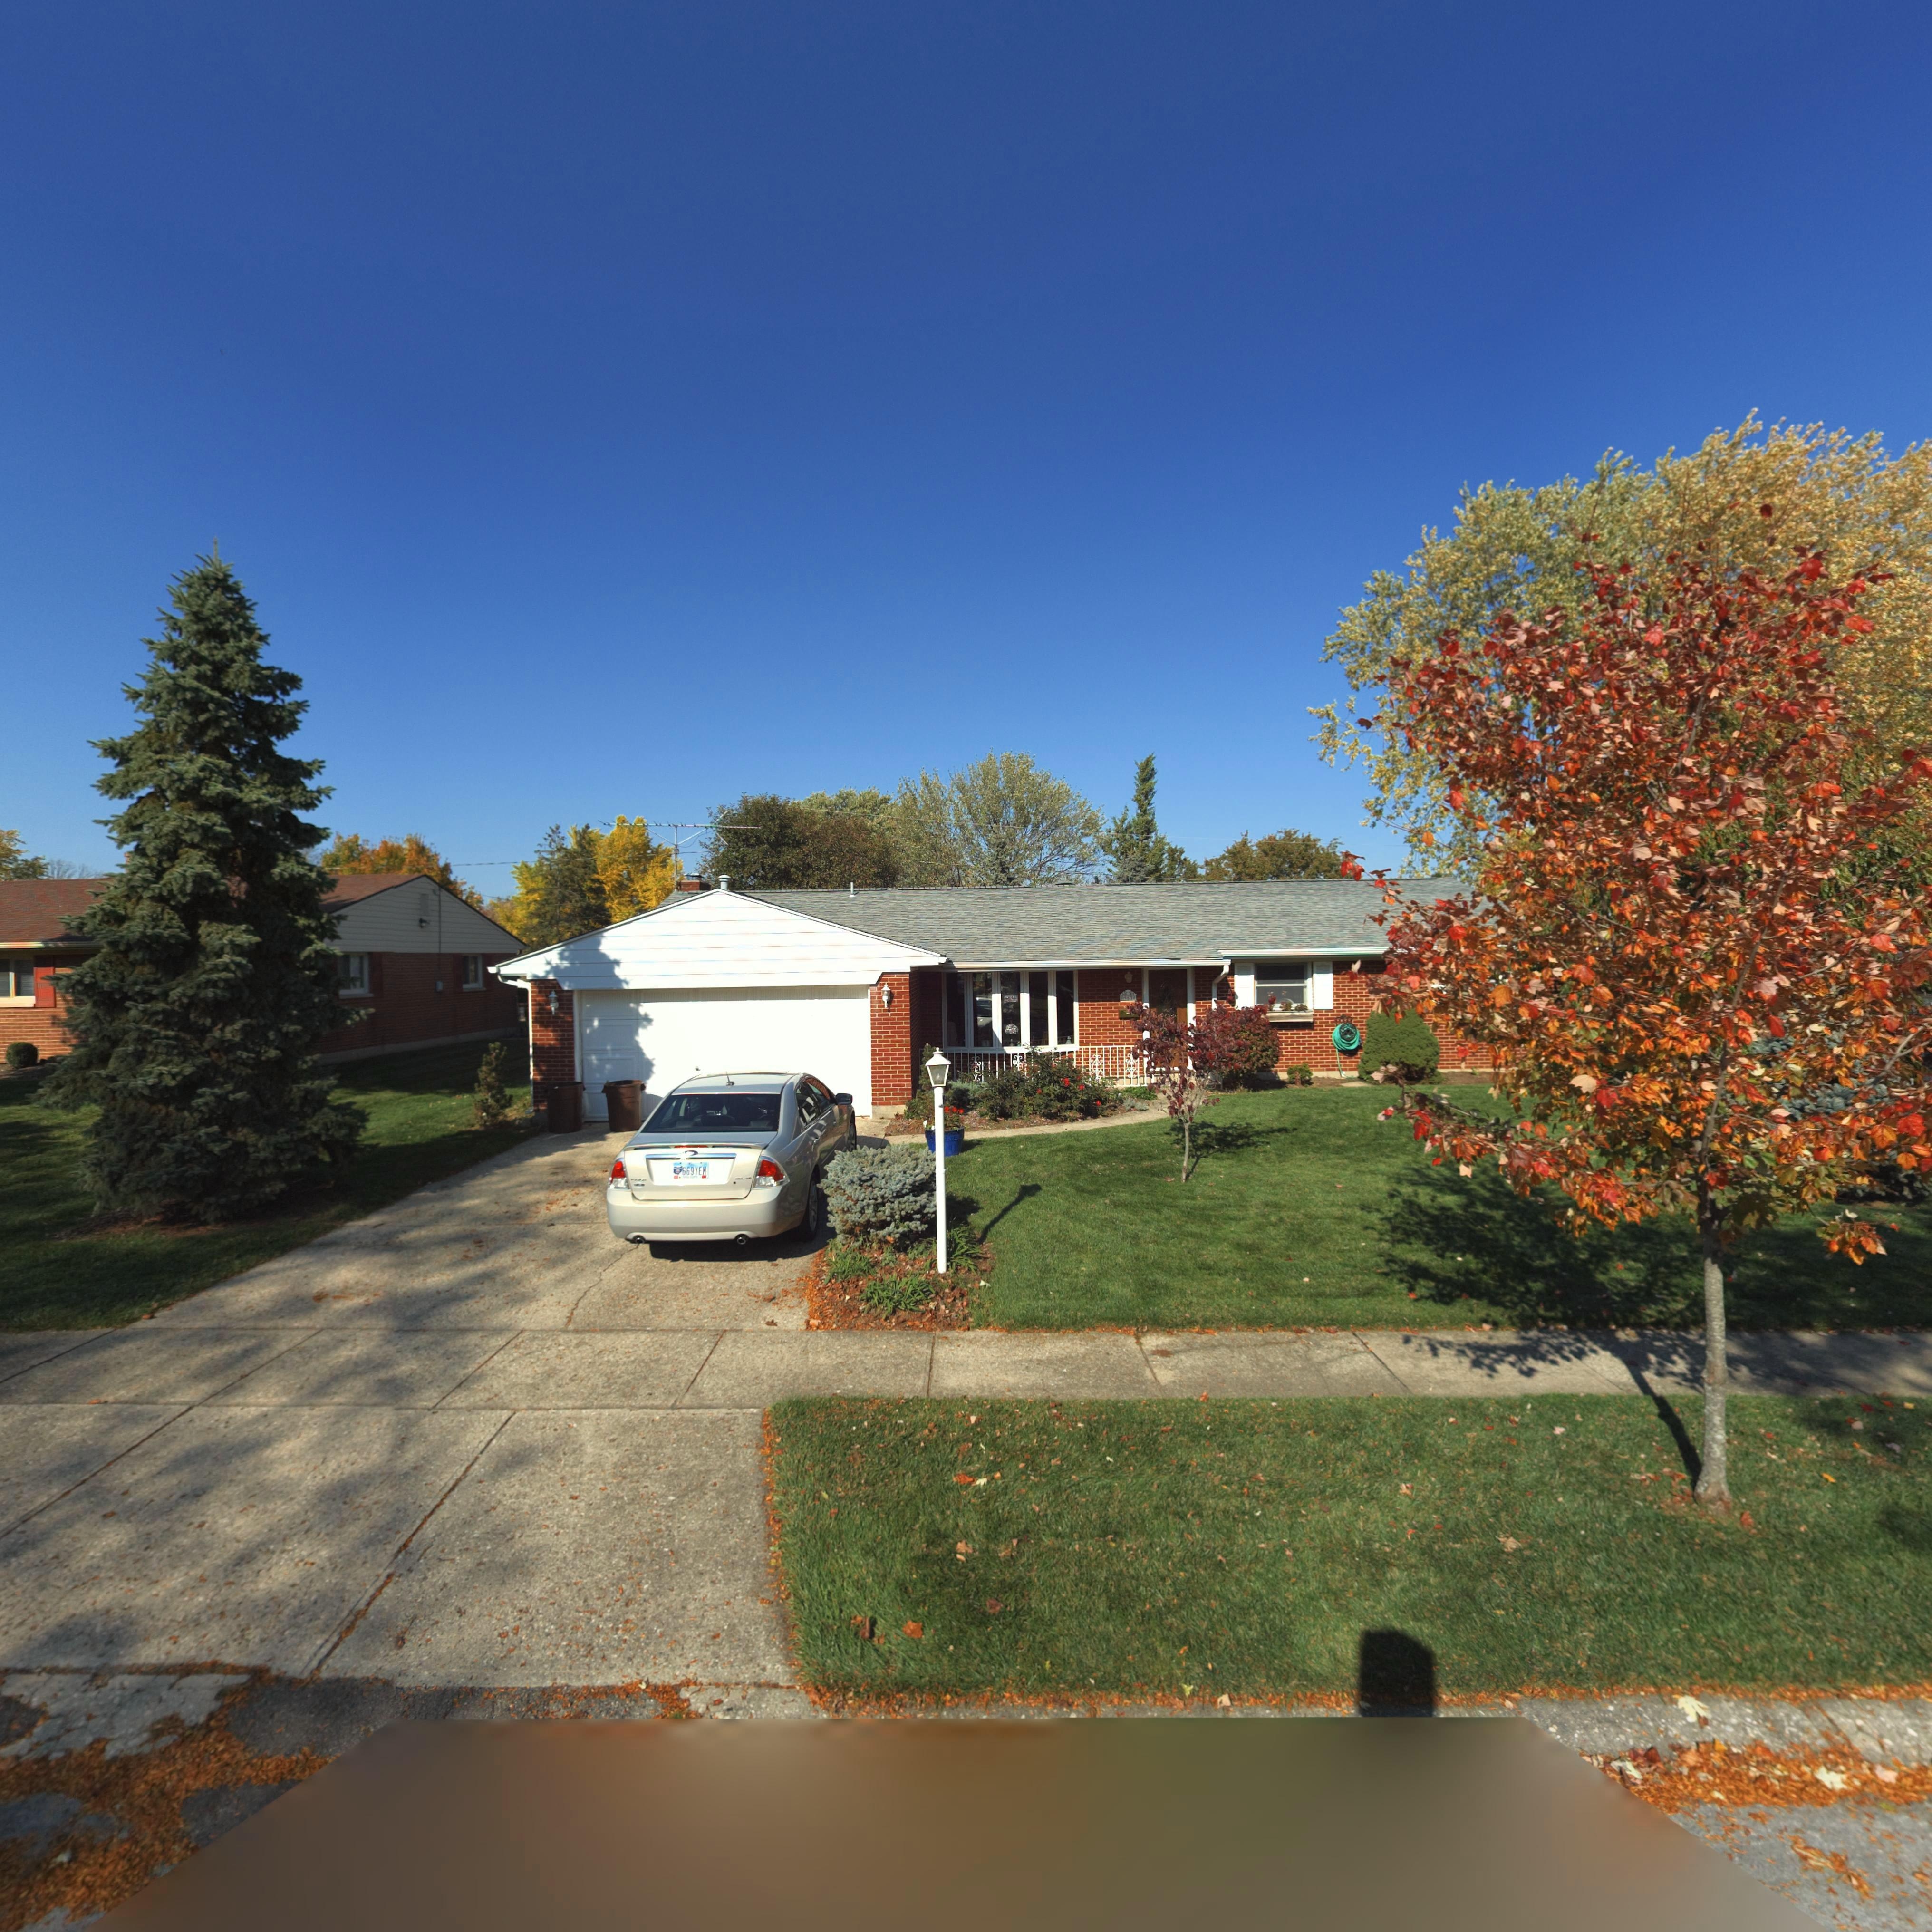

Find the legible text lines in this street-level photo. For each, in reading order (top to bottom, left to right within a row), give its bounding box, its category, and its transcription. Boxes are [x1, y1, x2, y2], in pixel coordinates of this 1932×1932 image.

[1124, 995, 1132, 1001] StreetNumber: *63